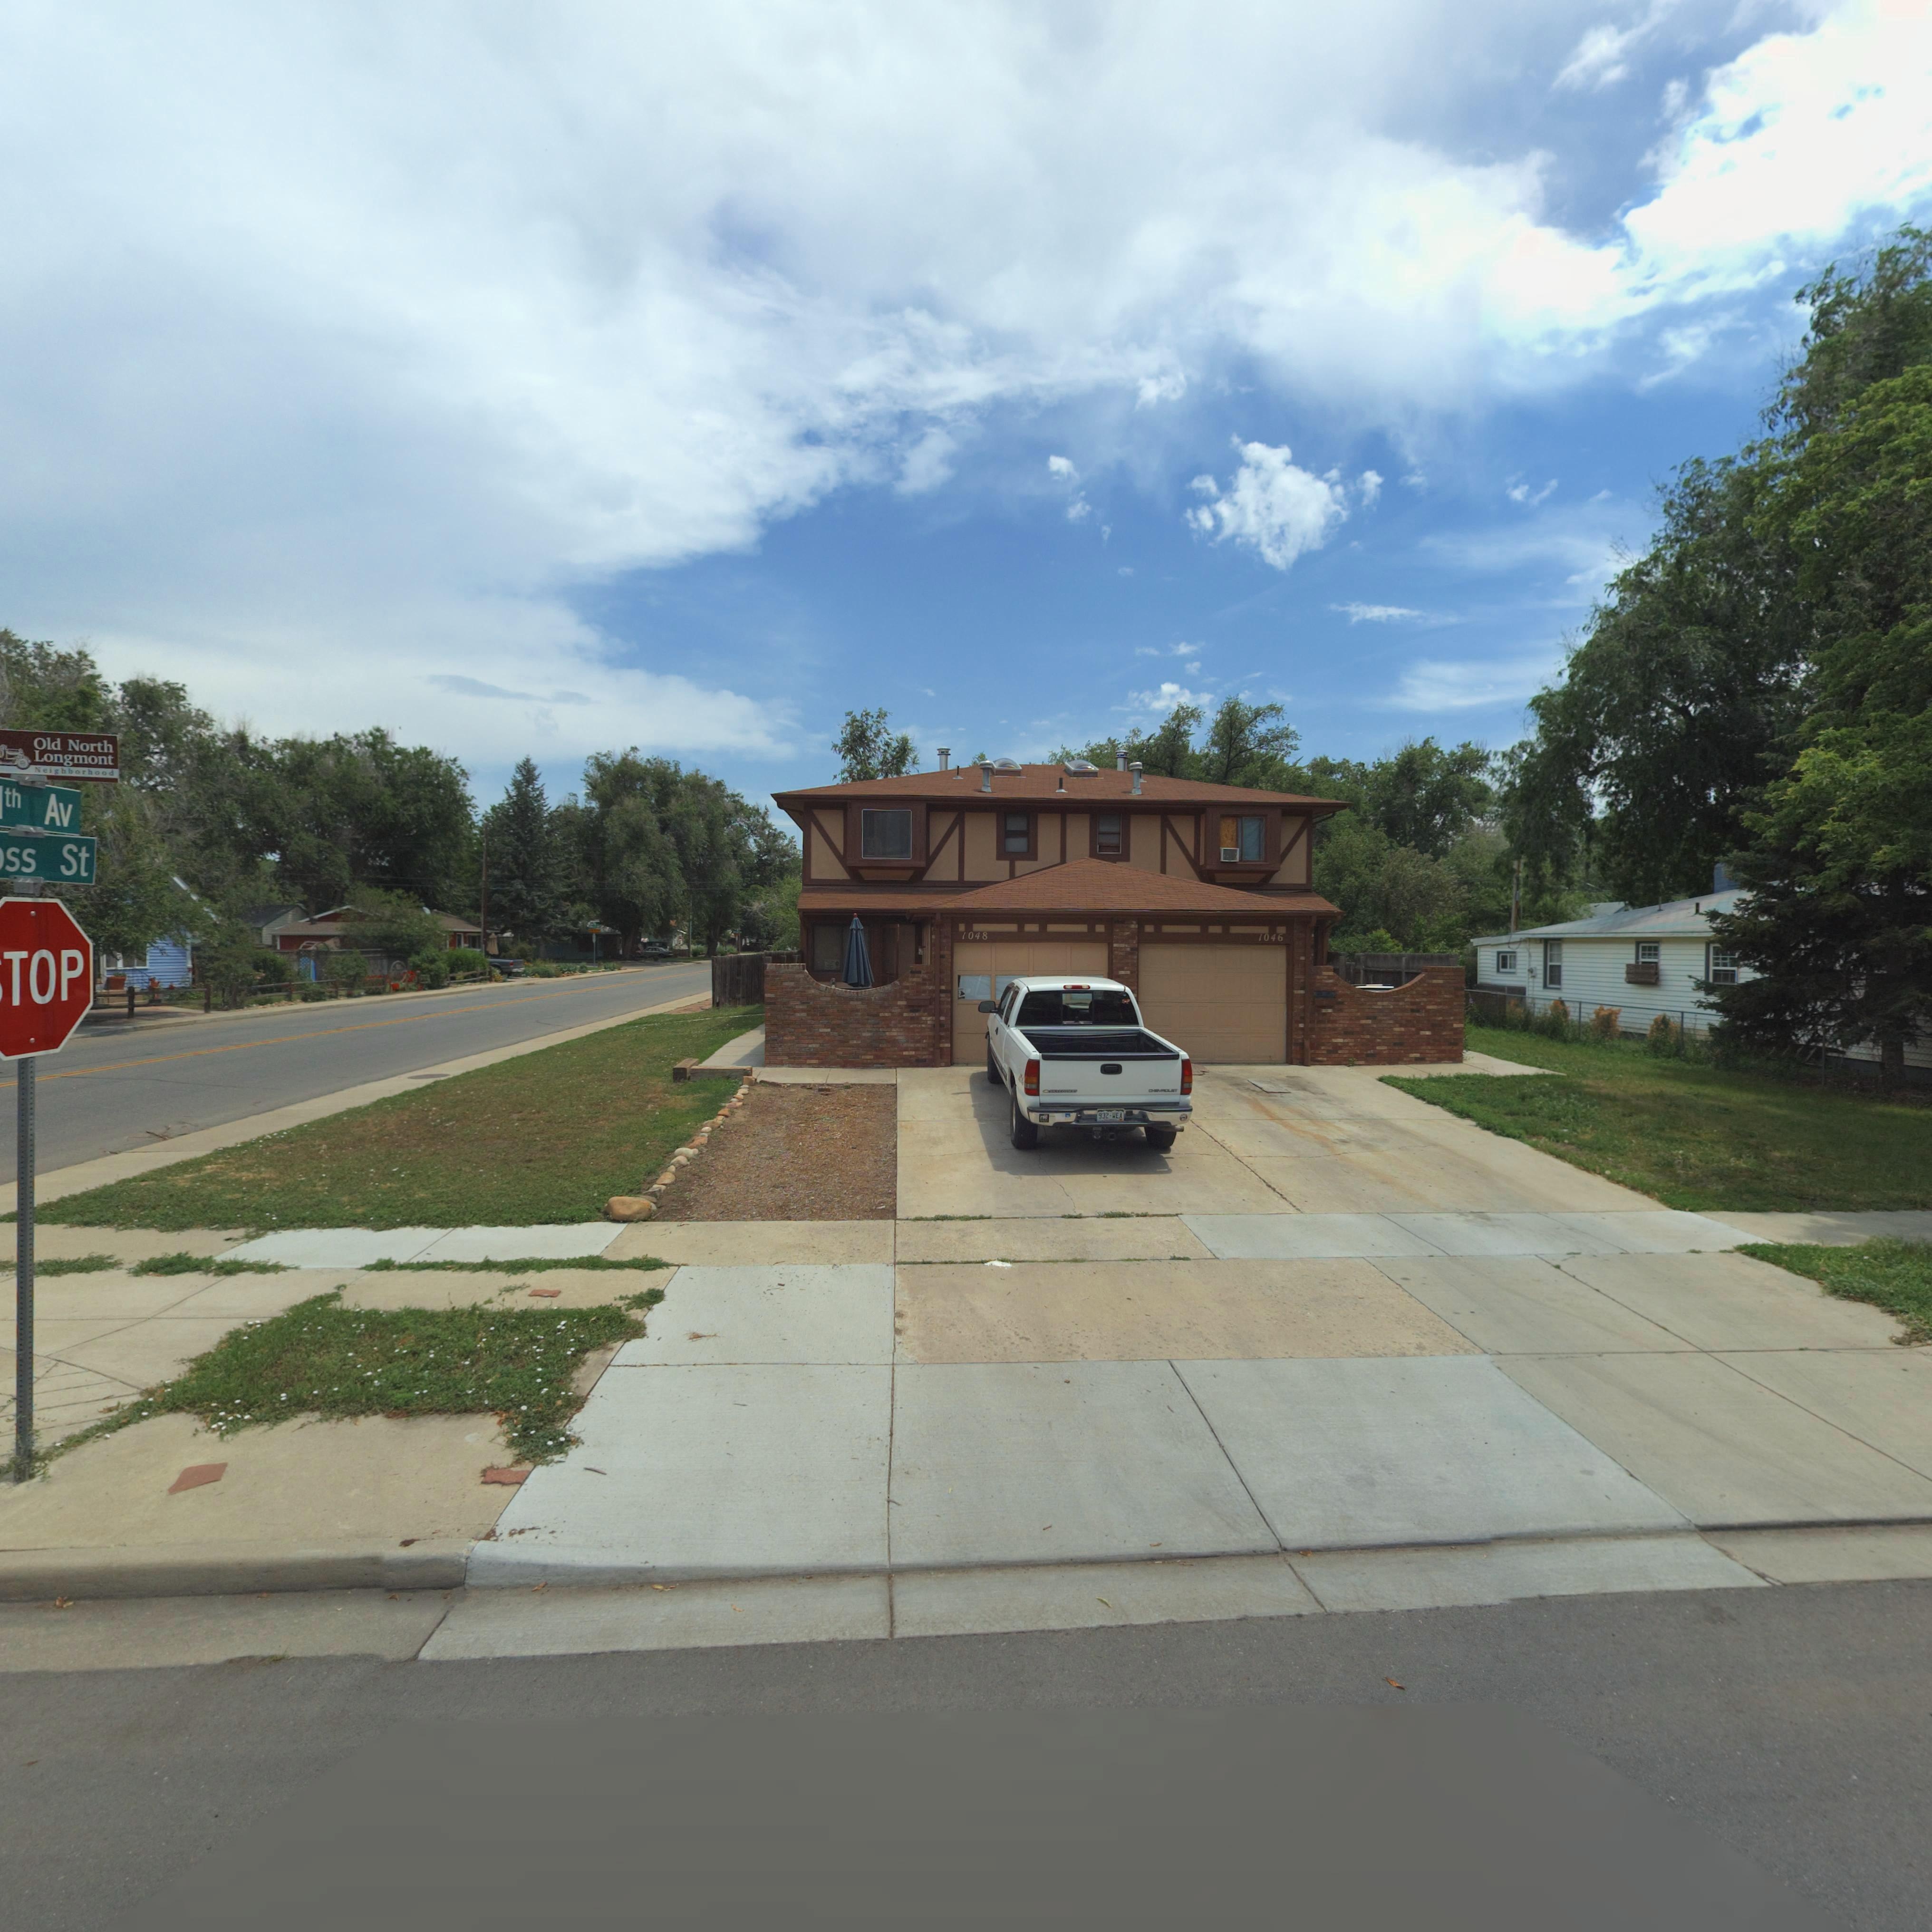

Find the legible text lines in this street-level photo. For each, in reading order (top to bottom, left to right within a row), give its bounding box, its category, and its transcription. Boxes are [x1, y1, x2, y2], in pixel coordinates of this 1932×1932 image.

[4, 786, 75, 828] StreetName: th Av
[3, 843, 91, 877] StreetName: ss St
[961, 931, 987, 940] StreetNumber: 1048
[1258, 933, 1283, 941] StreetNumber: 1046